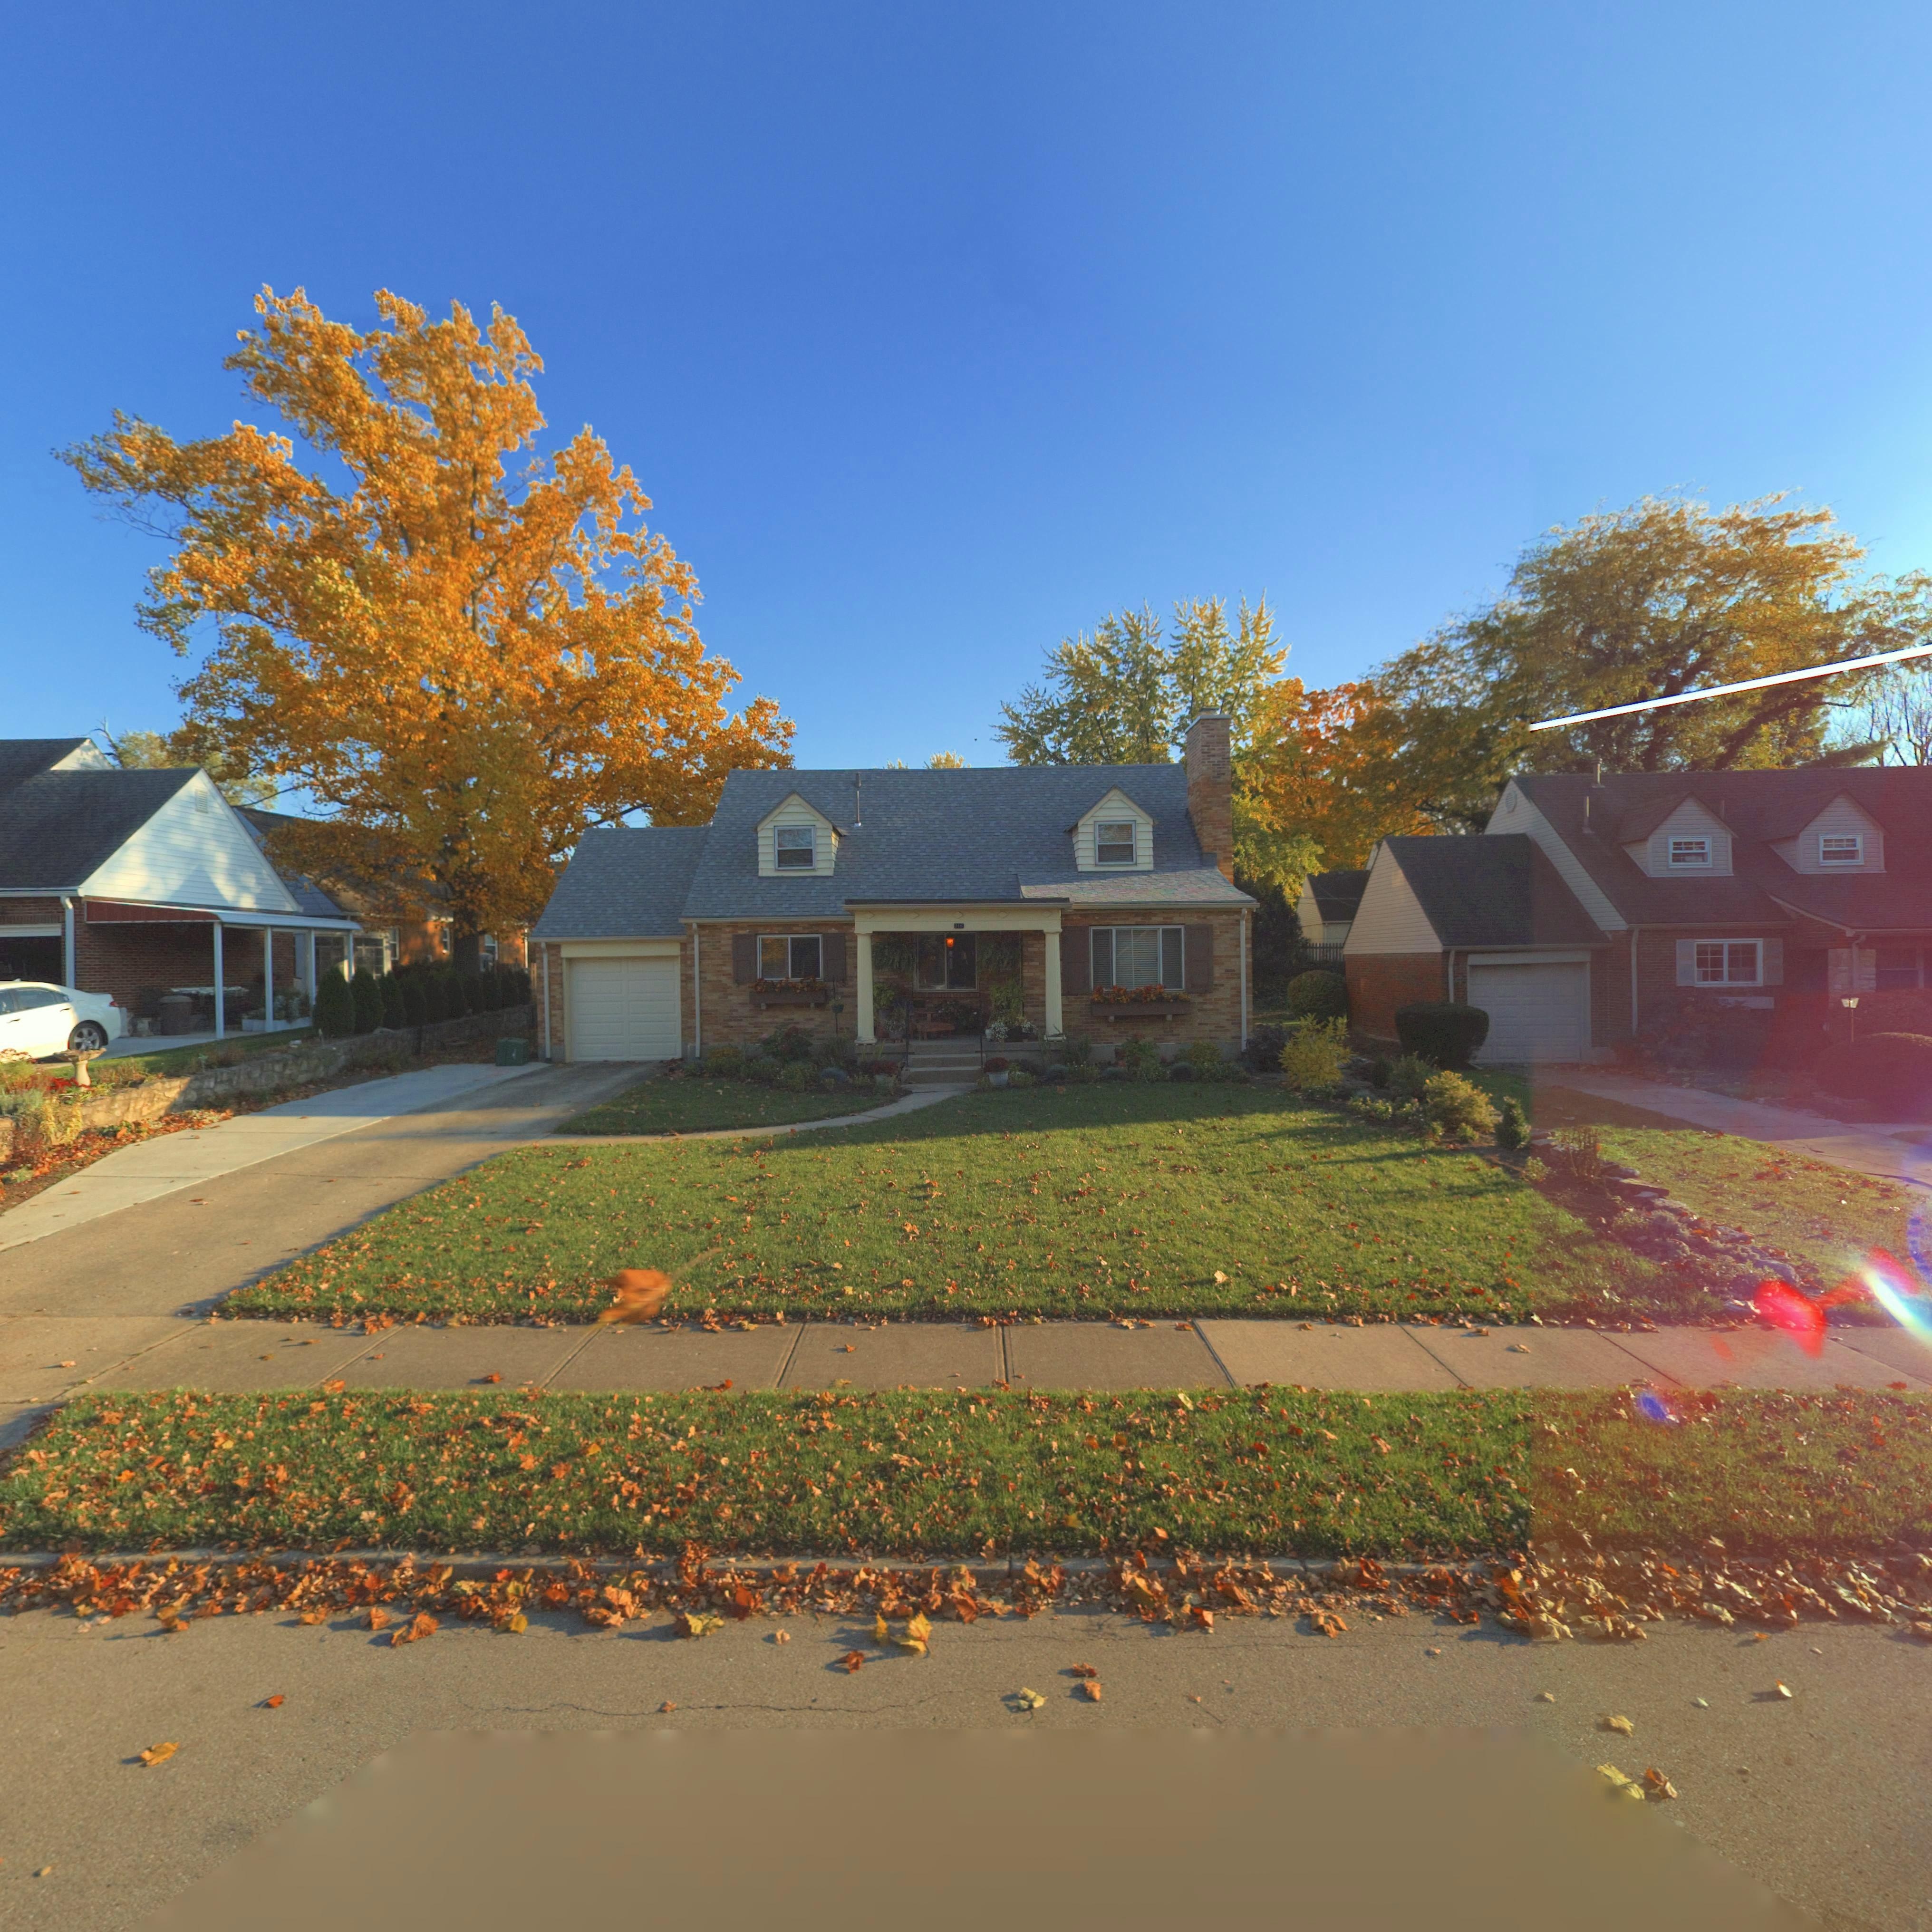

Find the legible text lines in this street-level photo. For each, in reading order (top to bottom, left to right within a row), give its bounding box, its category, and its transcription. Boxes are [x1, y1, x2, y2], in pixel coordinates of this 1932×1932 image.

[955, 923, 963, 928] StreetNumber: 116